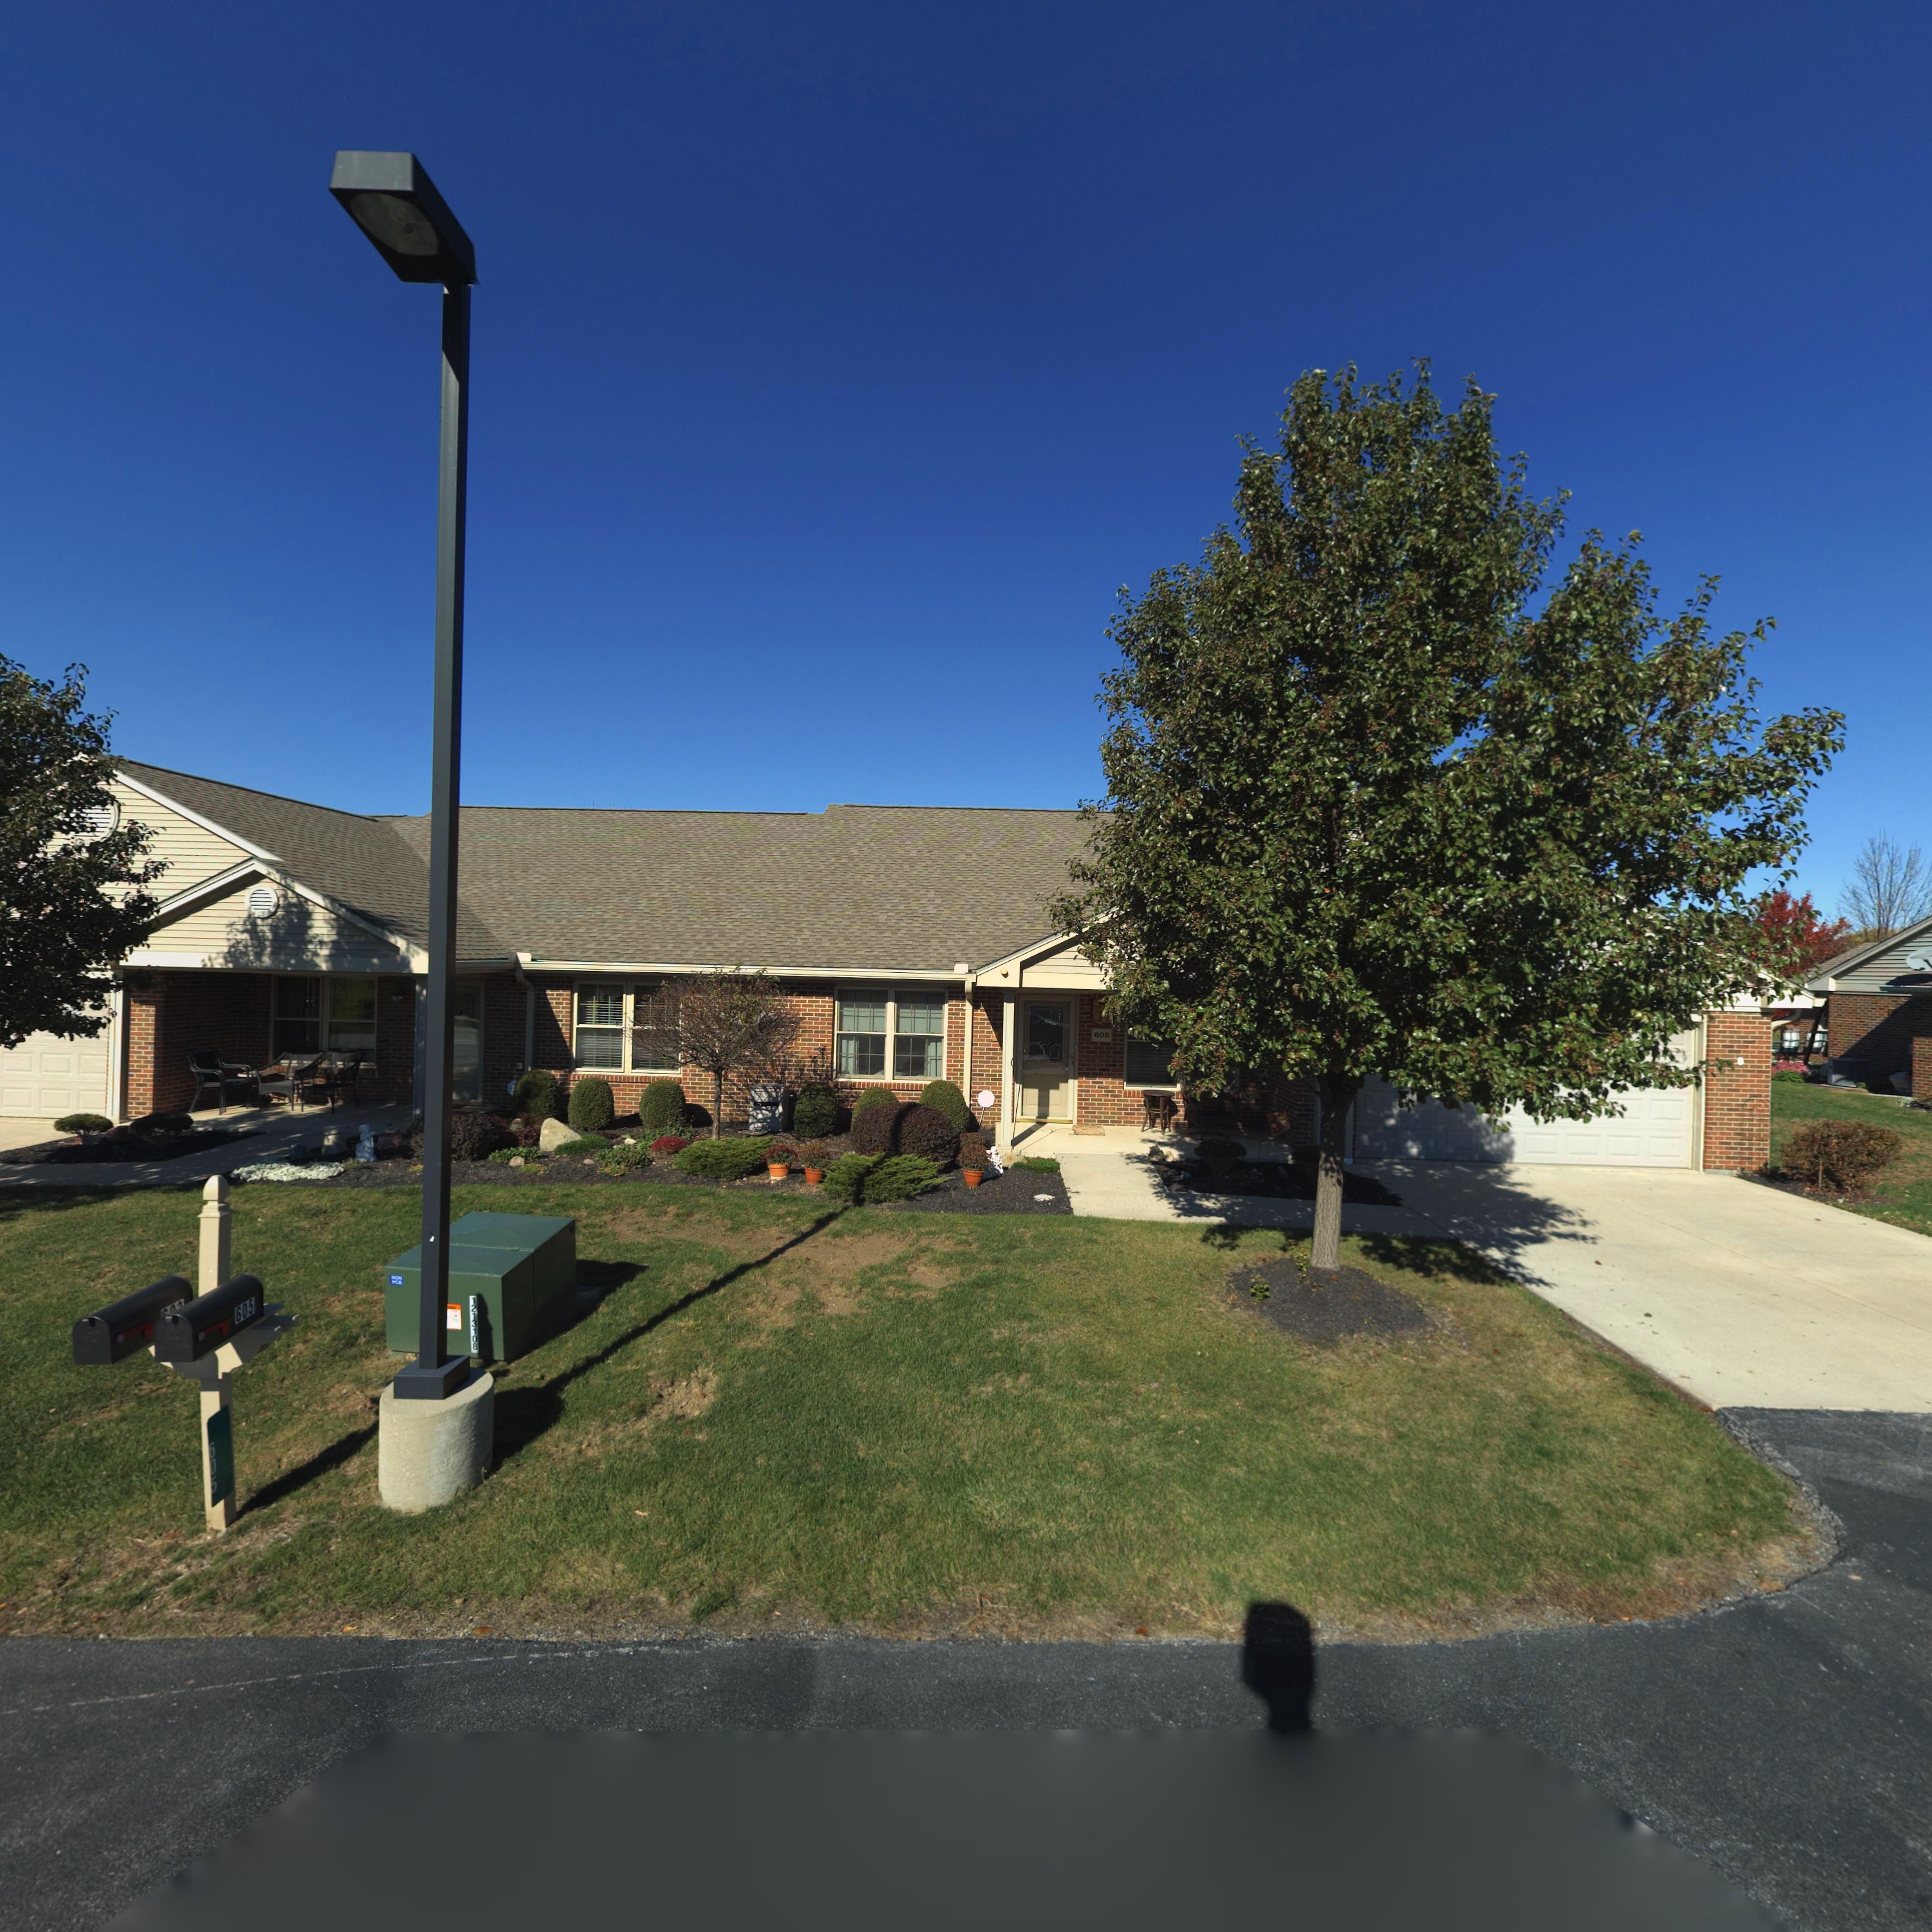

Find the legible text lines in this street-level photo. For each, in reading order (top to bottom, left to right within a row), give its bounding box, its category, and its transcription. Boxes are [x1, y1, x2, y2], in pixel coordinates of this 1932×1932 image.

[1093, 1031, 1110, 1038] StreetNumber: 605
[234, 1297, 254, 1323] StreetNumber: 605